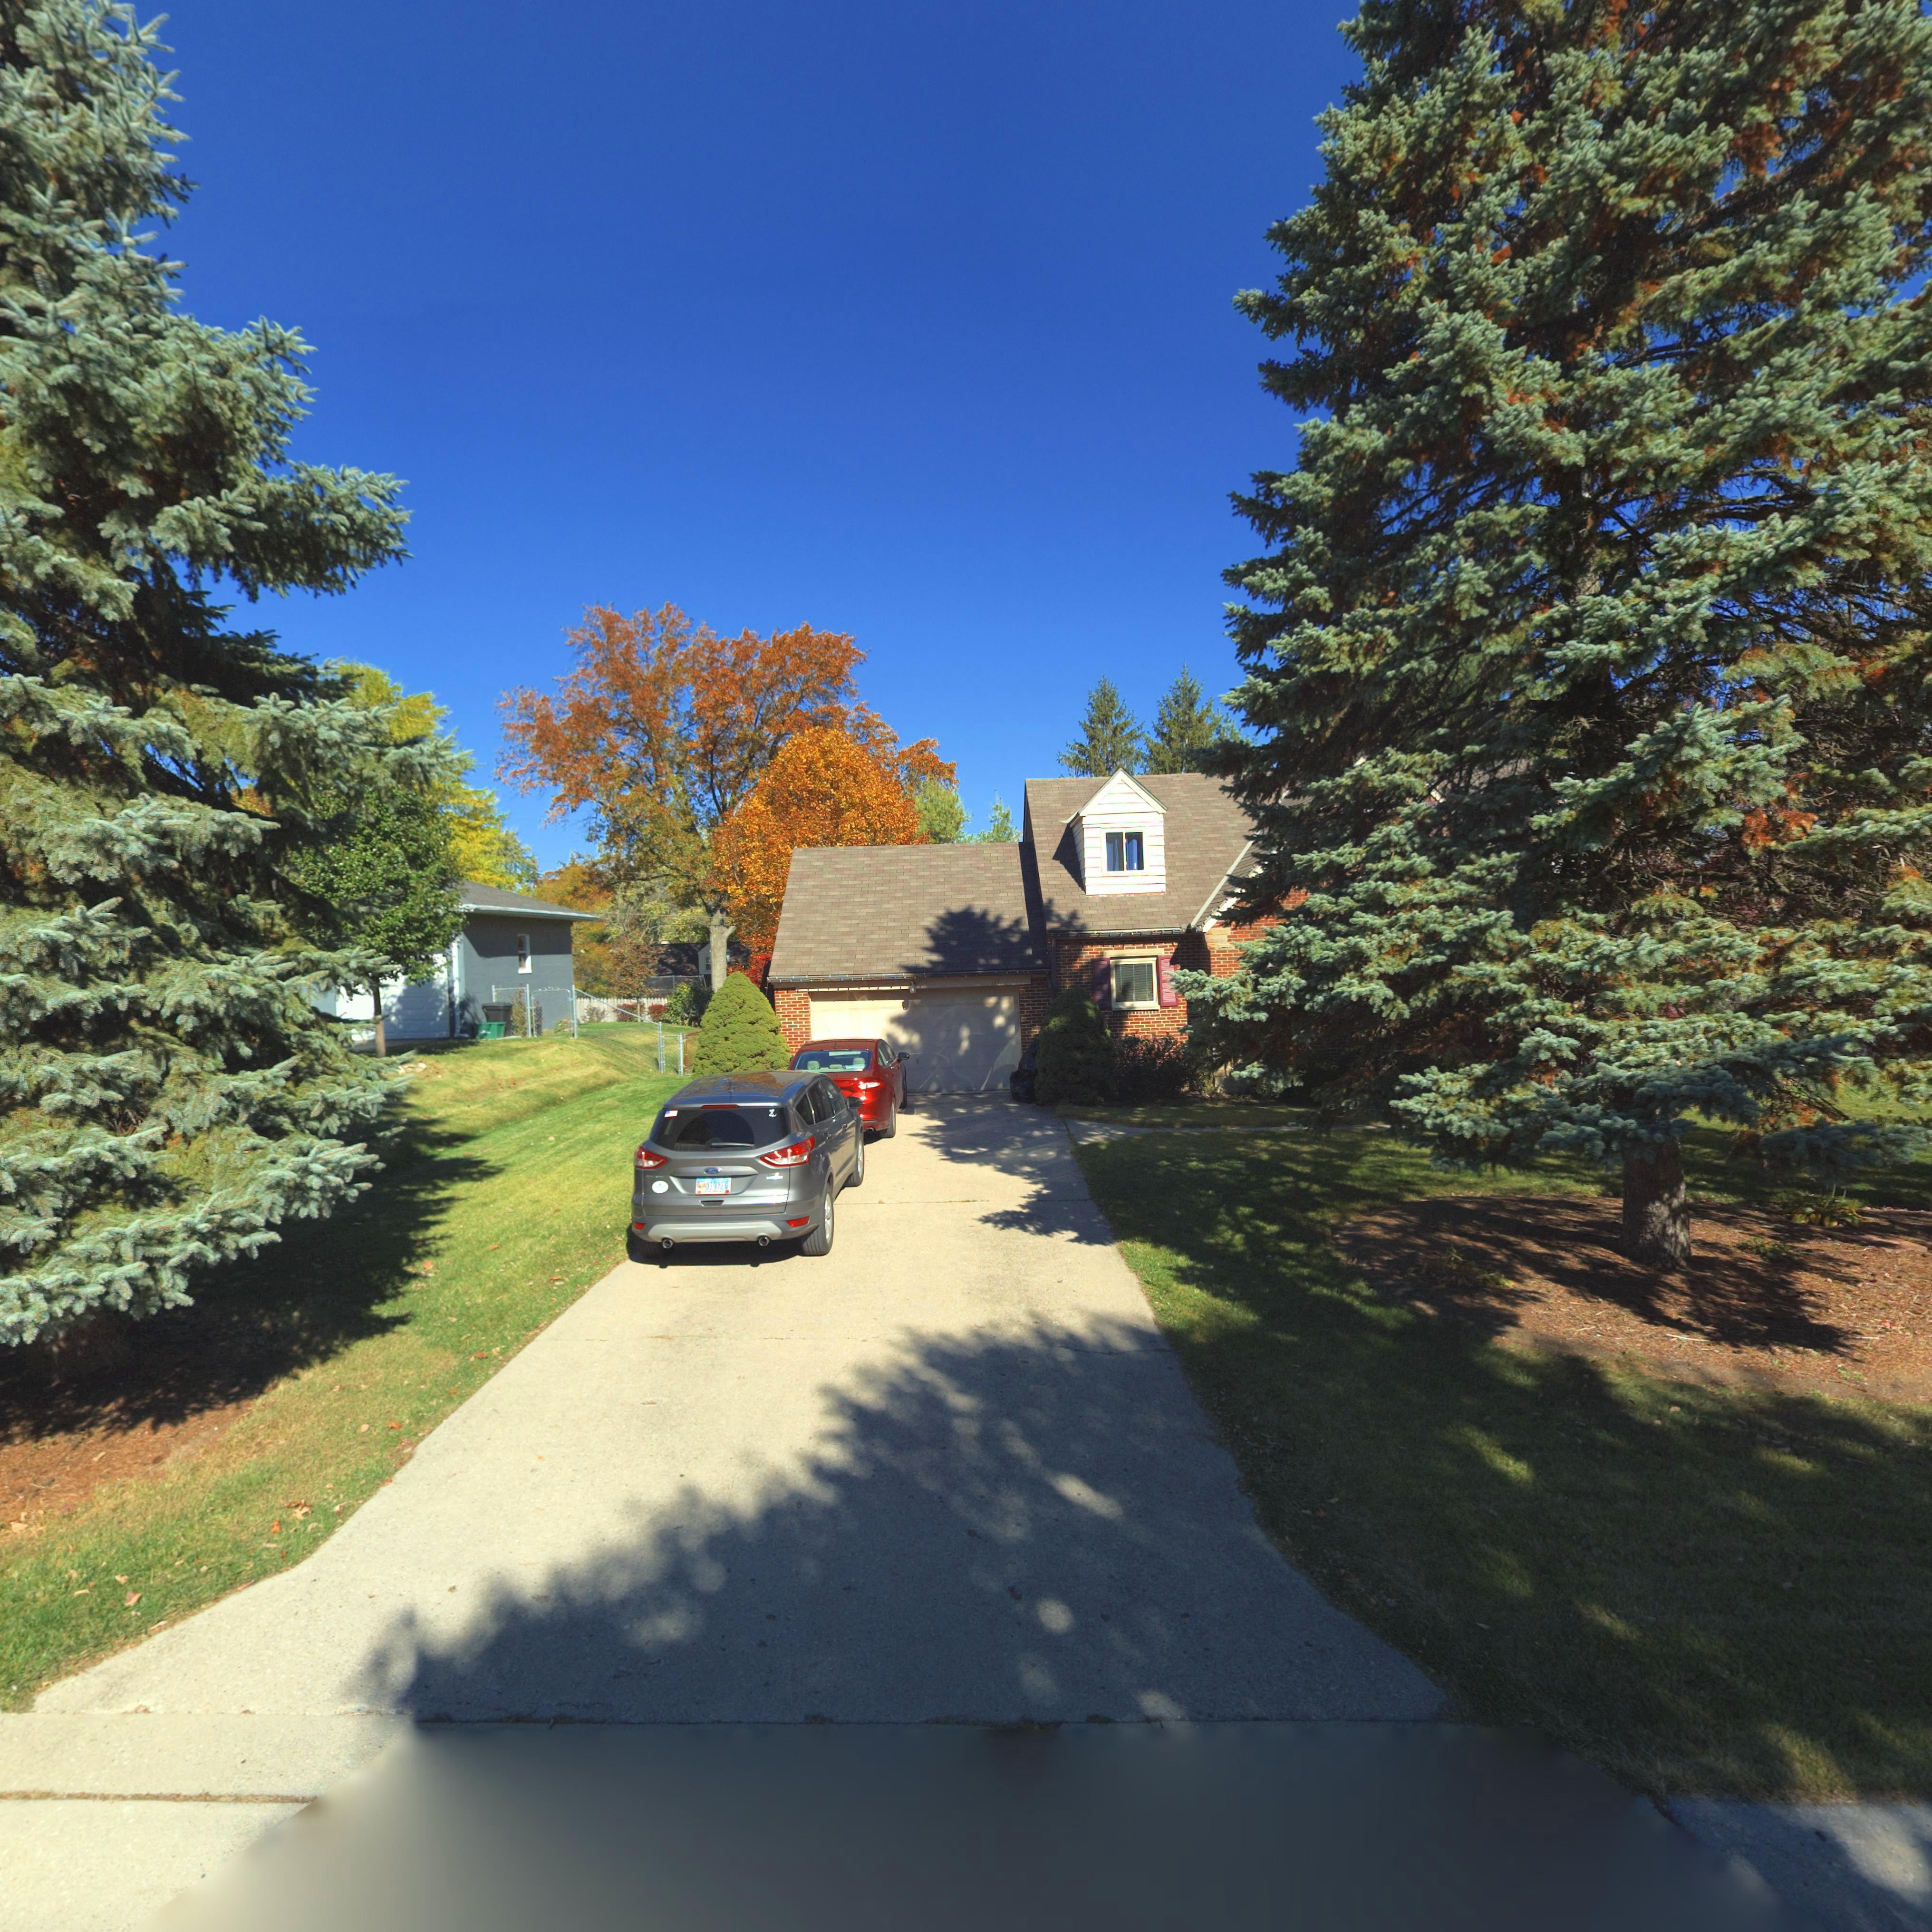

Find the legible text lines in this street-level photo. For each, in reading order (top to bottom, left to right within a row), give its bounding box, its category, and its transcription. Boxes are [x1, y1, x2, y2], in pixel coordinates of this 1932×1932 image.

[991, 978, 1000, 986] StreetNumber: *1*